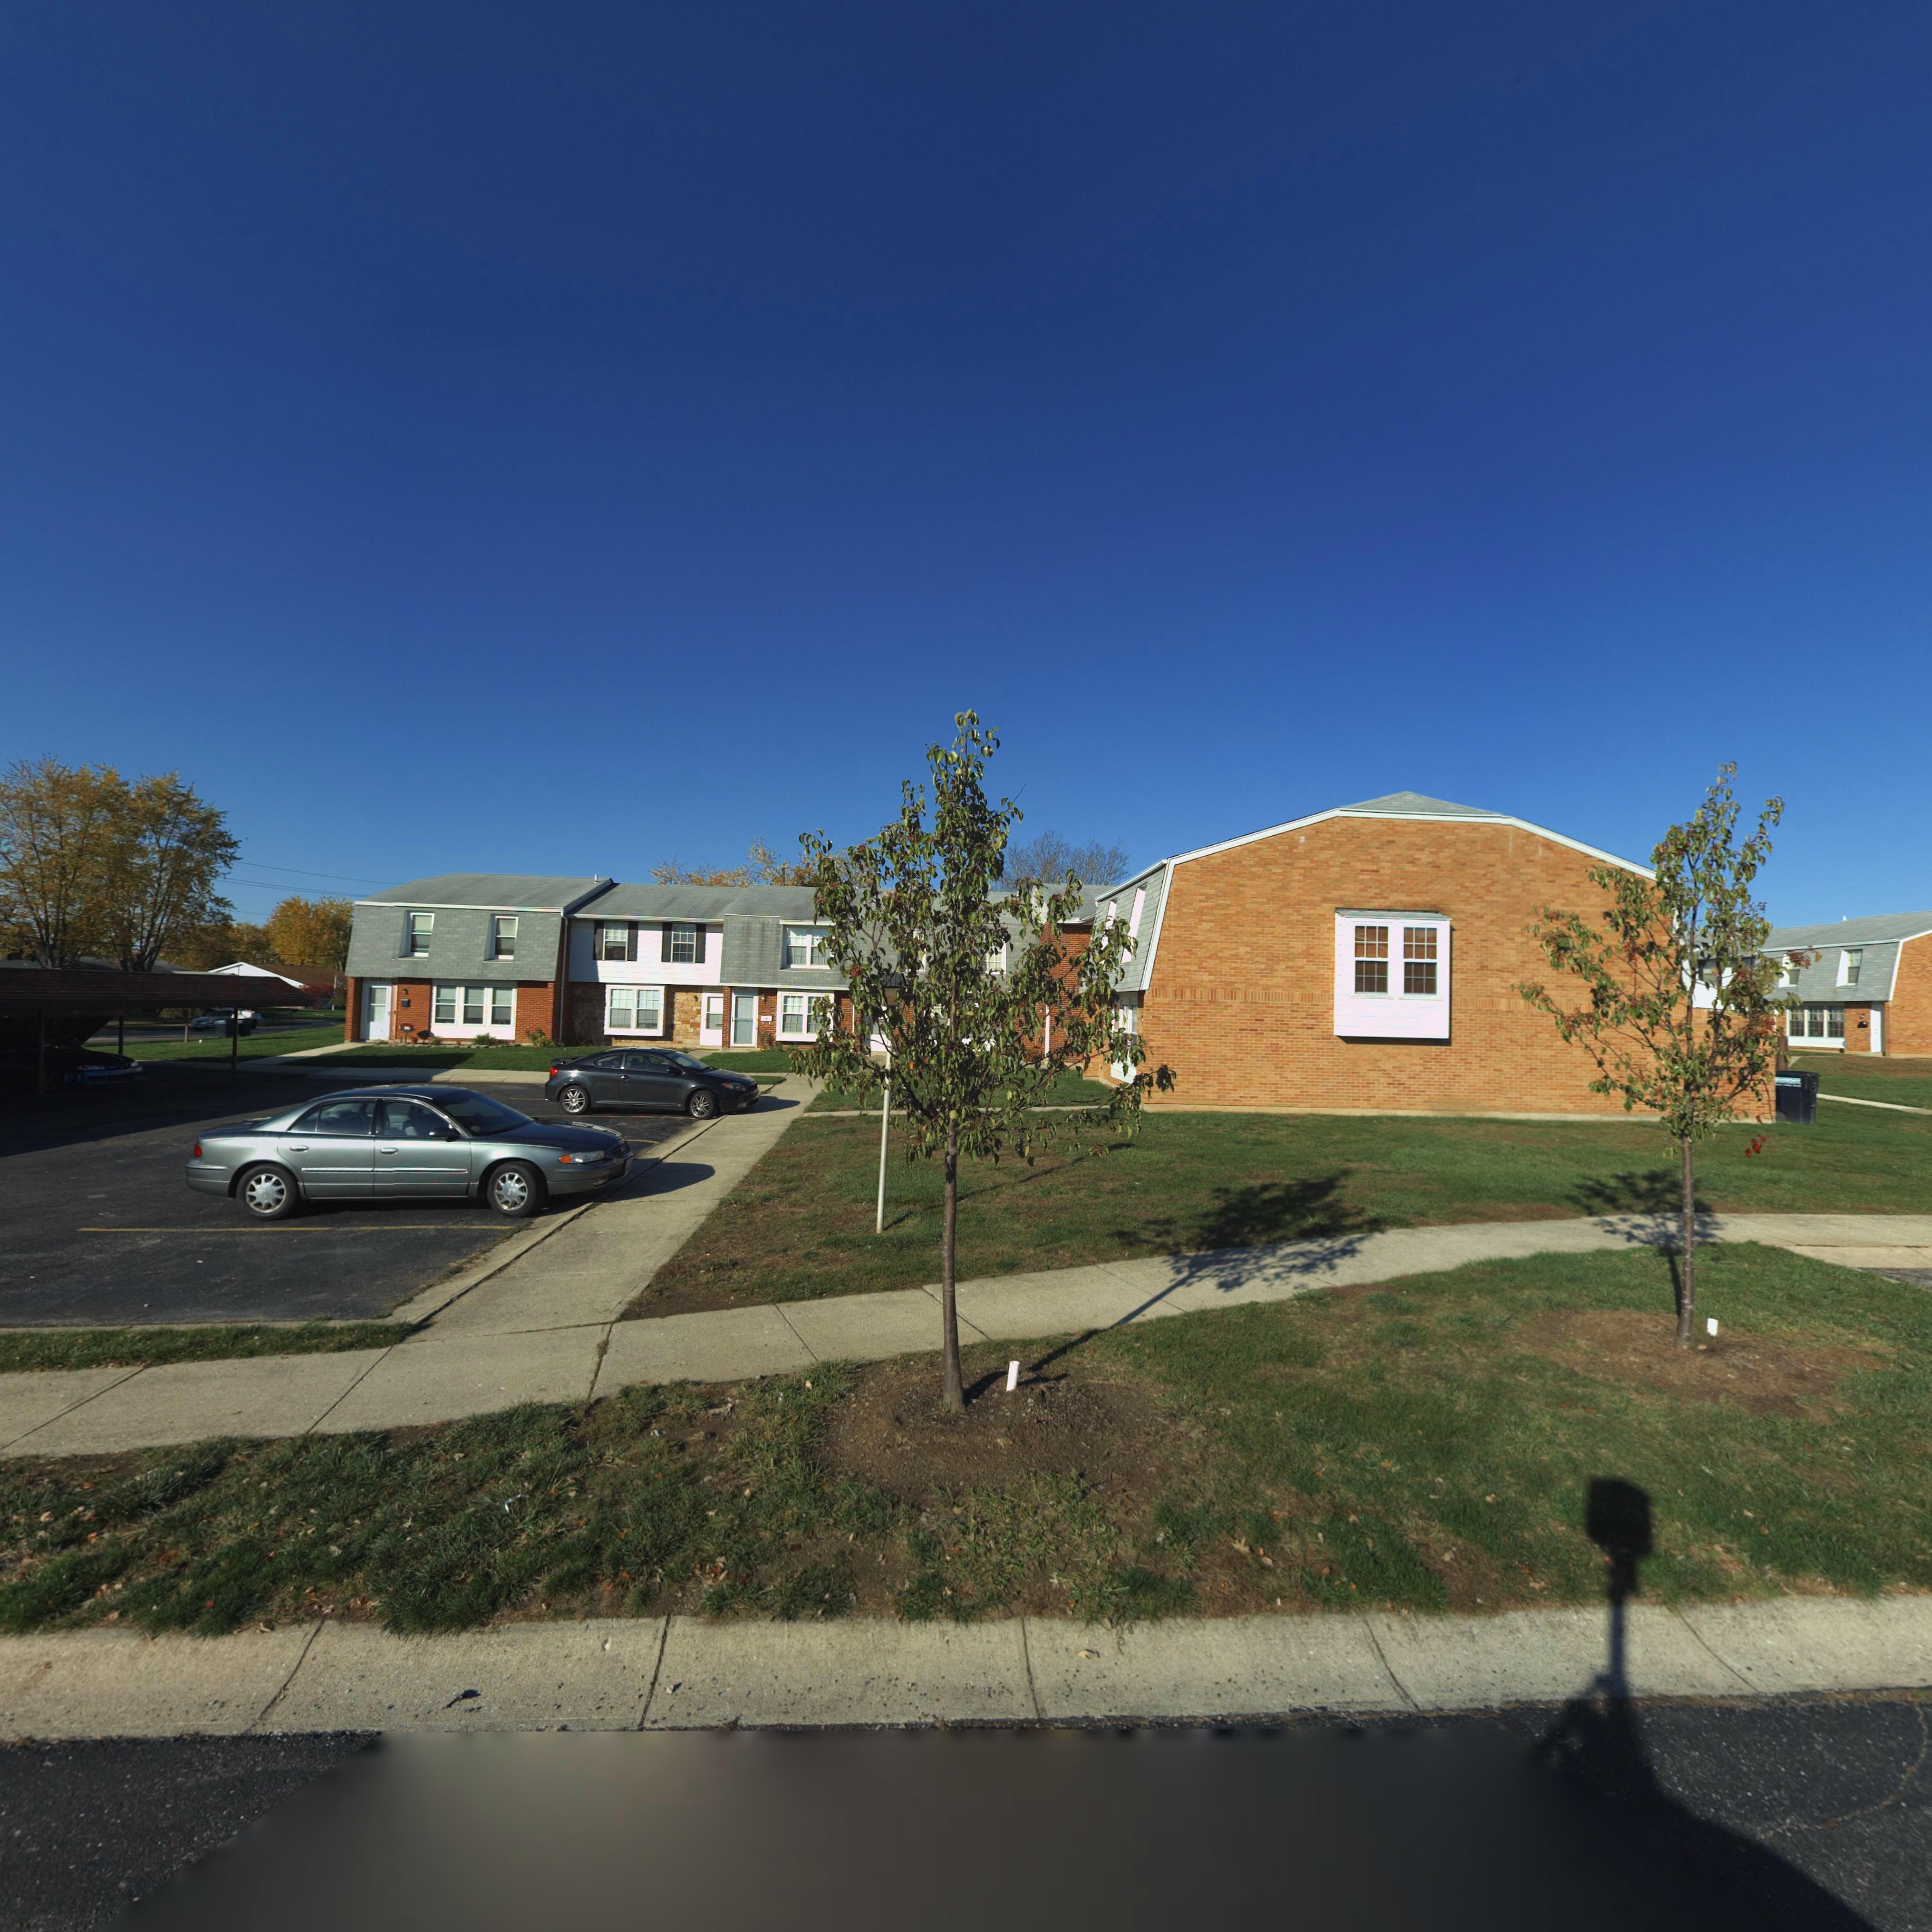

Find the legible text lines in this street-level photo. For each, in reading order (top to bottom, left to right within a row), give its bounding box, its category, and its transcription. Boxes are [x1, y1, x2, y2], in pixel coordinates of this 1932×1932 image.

[370, 977, 386, 982] StreetNumber: 7501
[715, 986, 717, 990] StreetNumber: 0
[739, 987, 748, 991] StreetNumber: 7**5